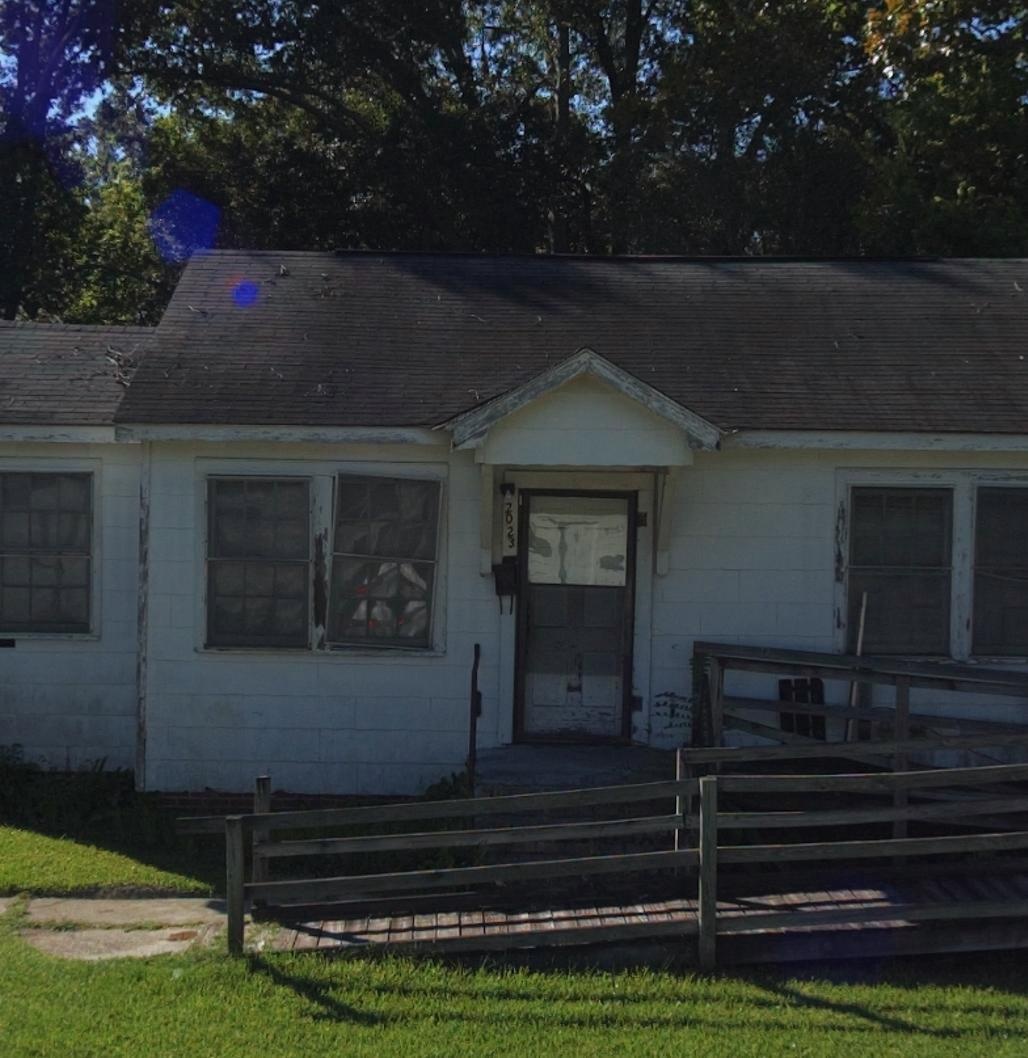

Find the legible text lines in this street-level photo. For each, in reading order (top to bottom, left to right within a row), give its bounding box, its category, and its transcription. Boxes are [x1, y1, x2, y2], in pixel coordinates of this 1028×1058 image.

[503, 500, 517, 550] StreetNumber: 2023